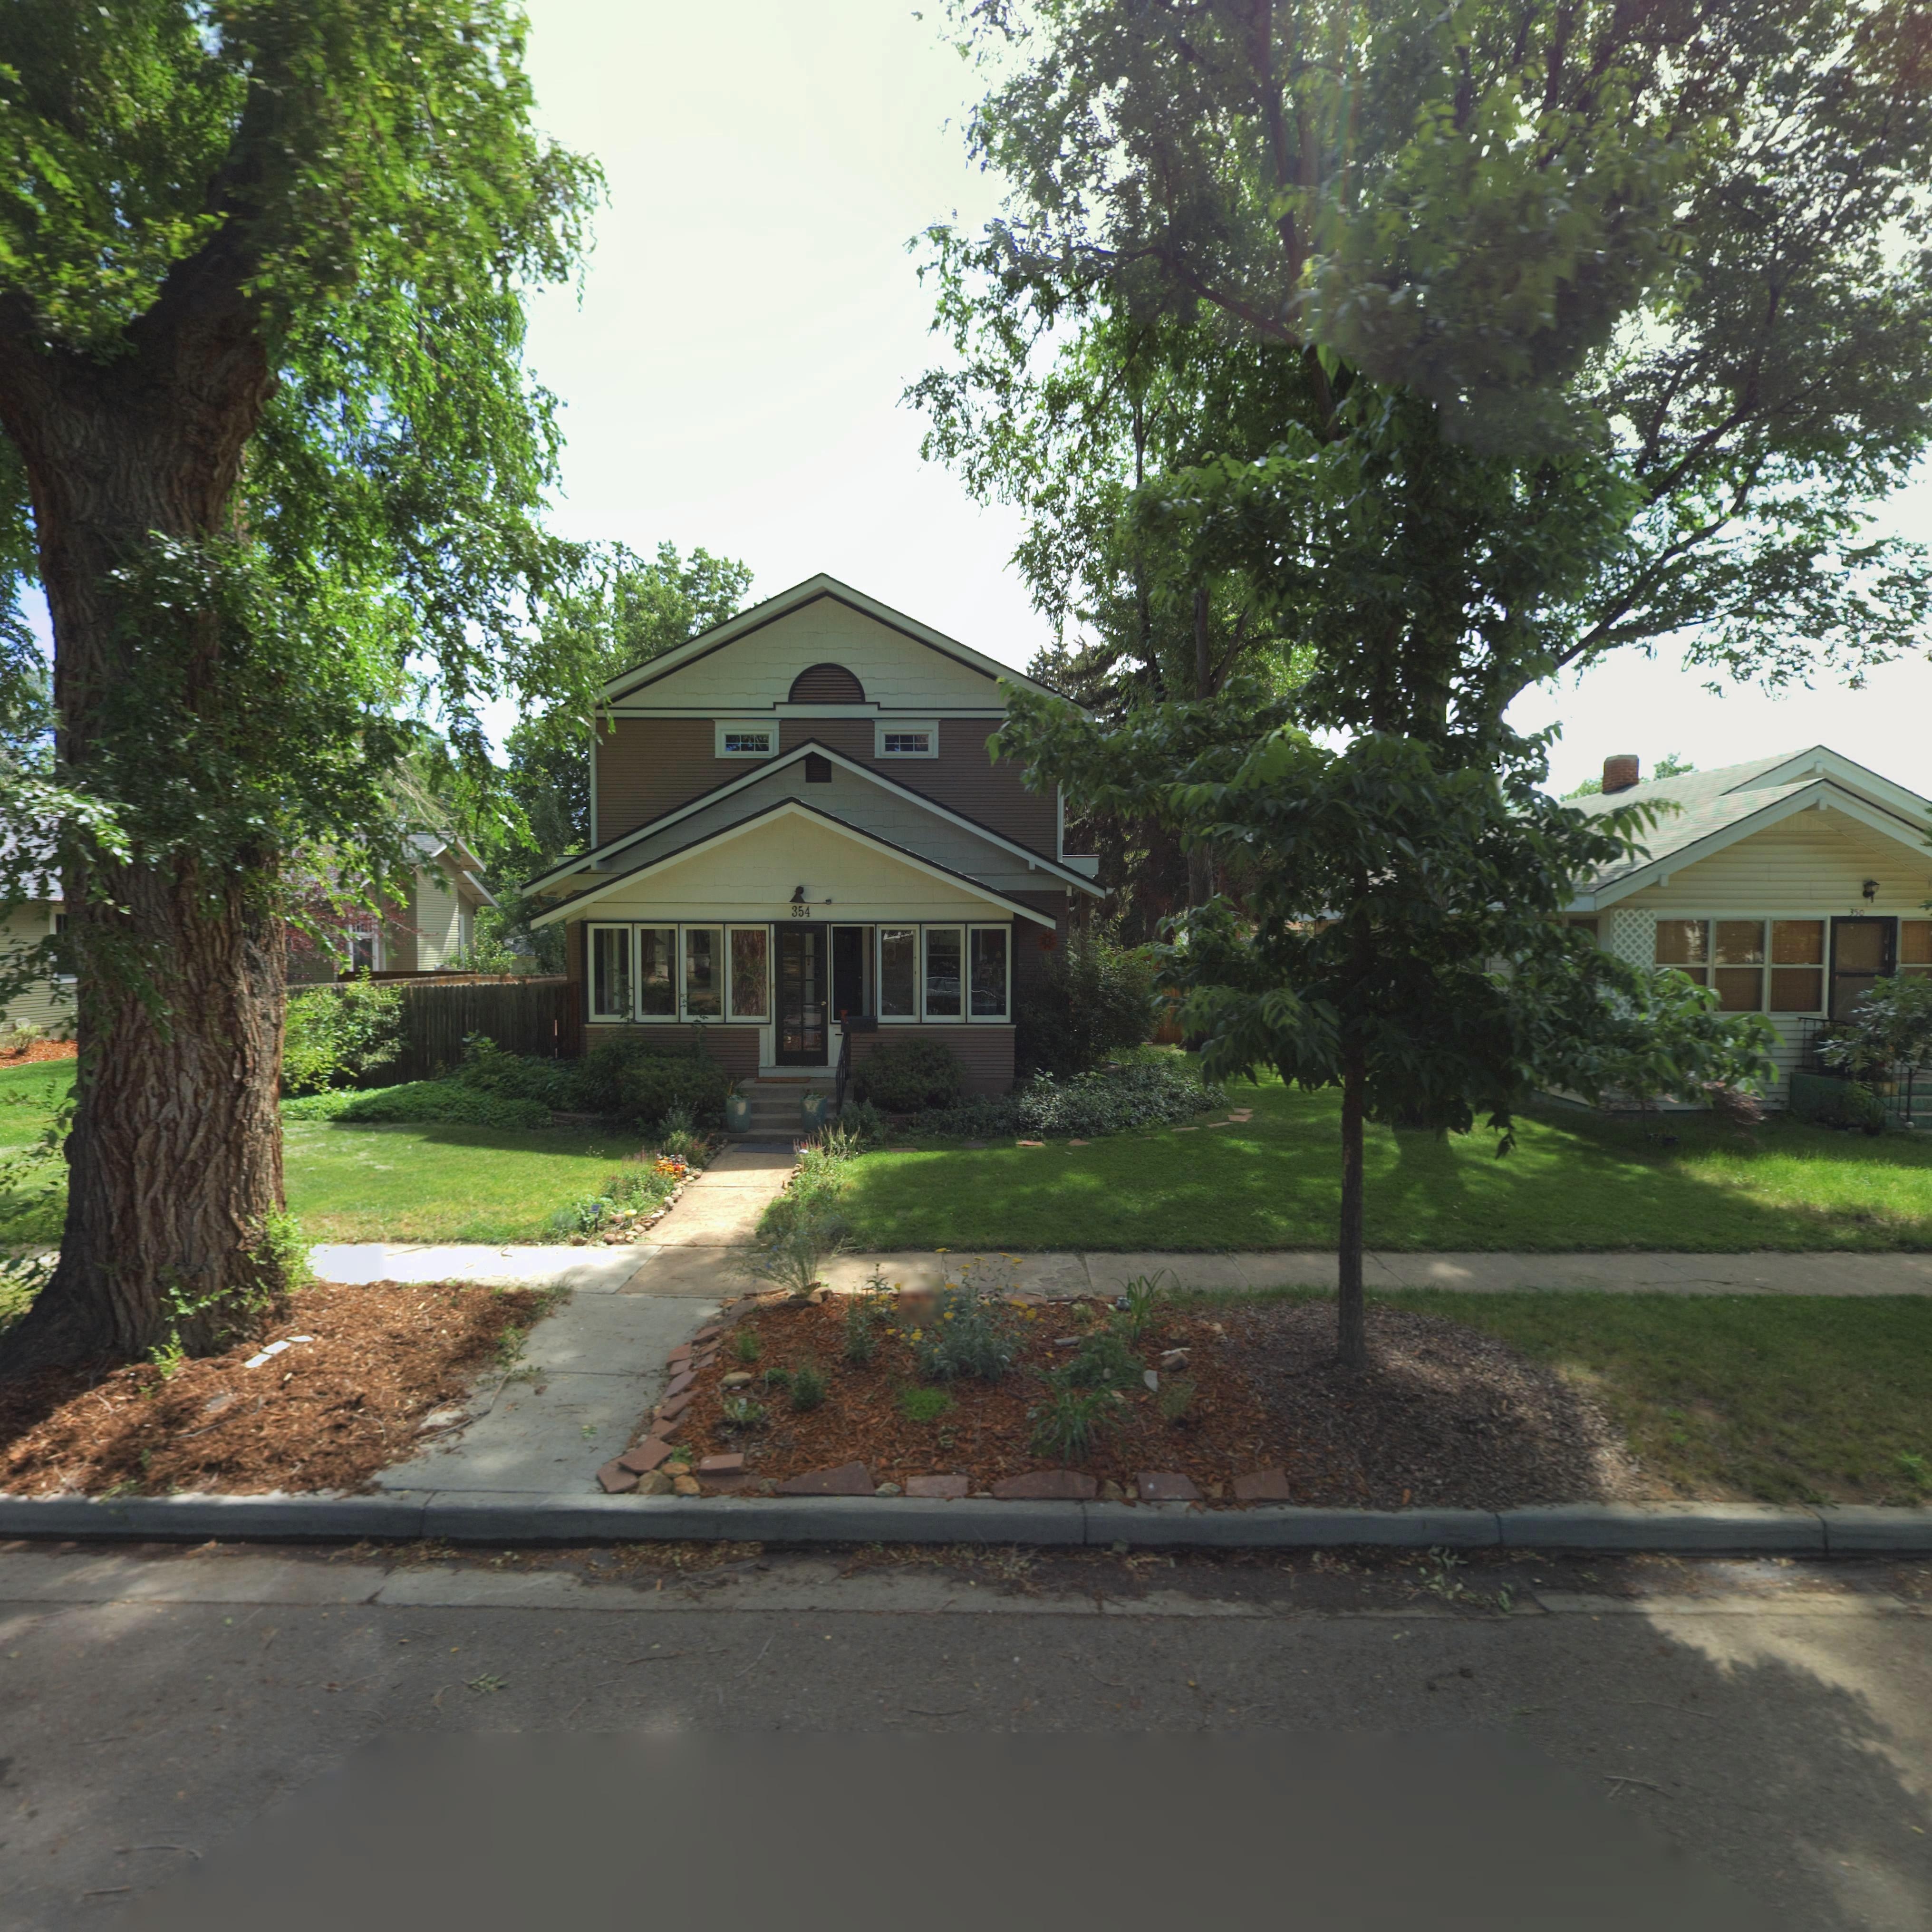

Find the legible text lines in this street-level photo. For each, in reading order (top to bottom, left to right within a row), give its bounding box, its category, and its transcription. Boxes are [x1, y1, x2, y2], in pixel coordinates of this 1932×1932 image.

[791, 905, 810, 917] StreetNumber: 354
[1848, 908, 1865, 916] StreetNumber: 350